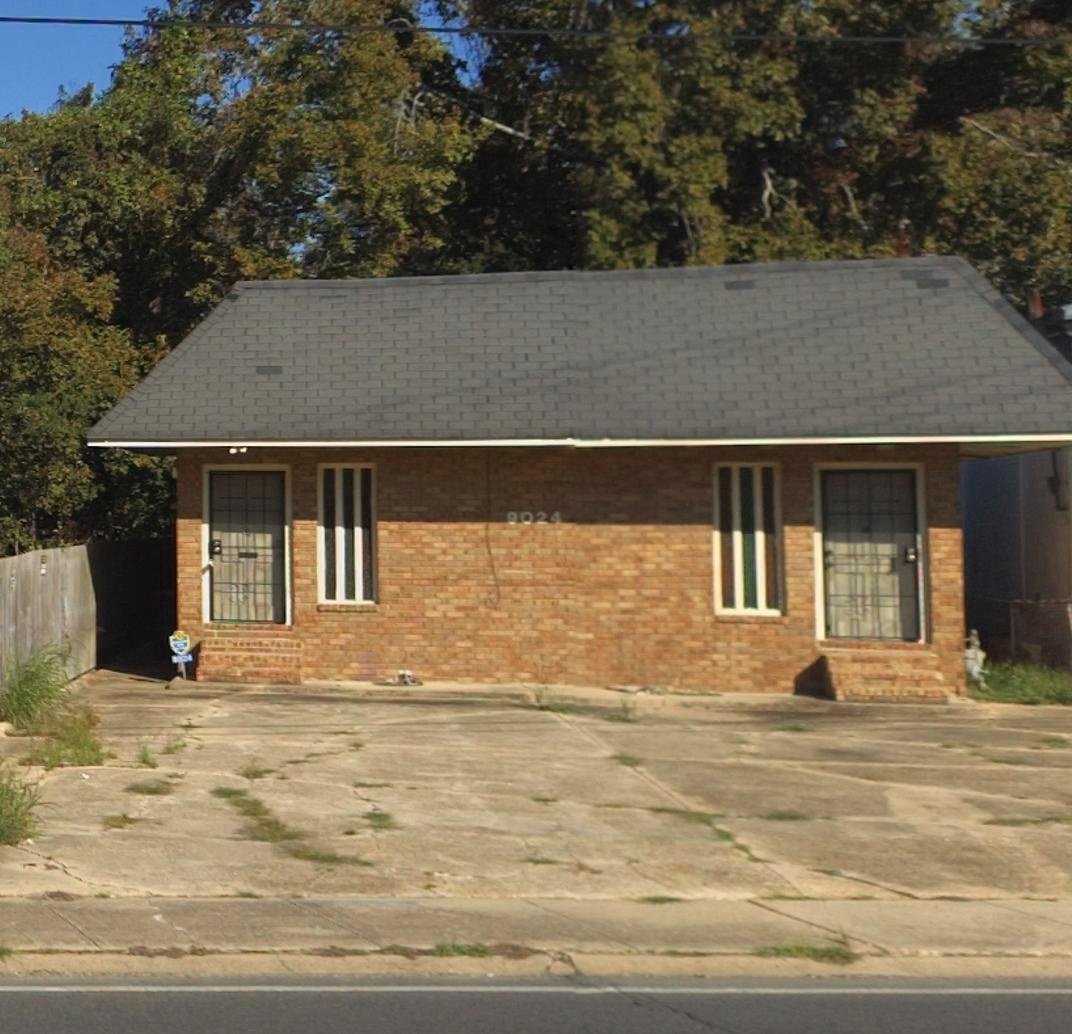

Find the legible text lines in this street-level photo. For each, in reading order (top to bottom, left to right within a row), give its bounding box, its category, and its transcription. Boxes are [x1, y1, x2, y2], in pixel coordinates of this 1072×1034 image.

[505, 510, 562, 526] StreetNumber: 9024